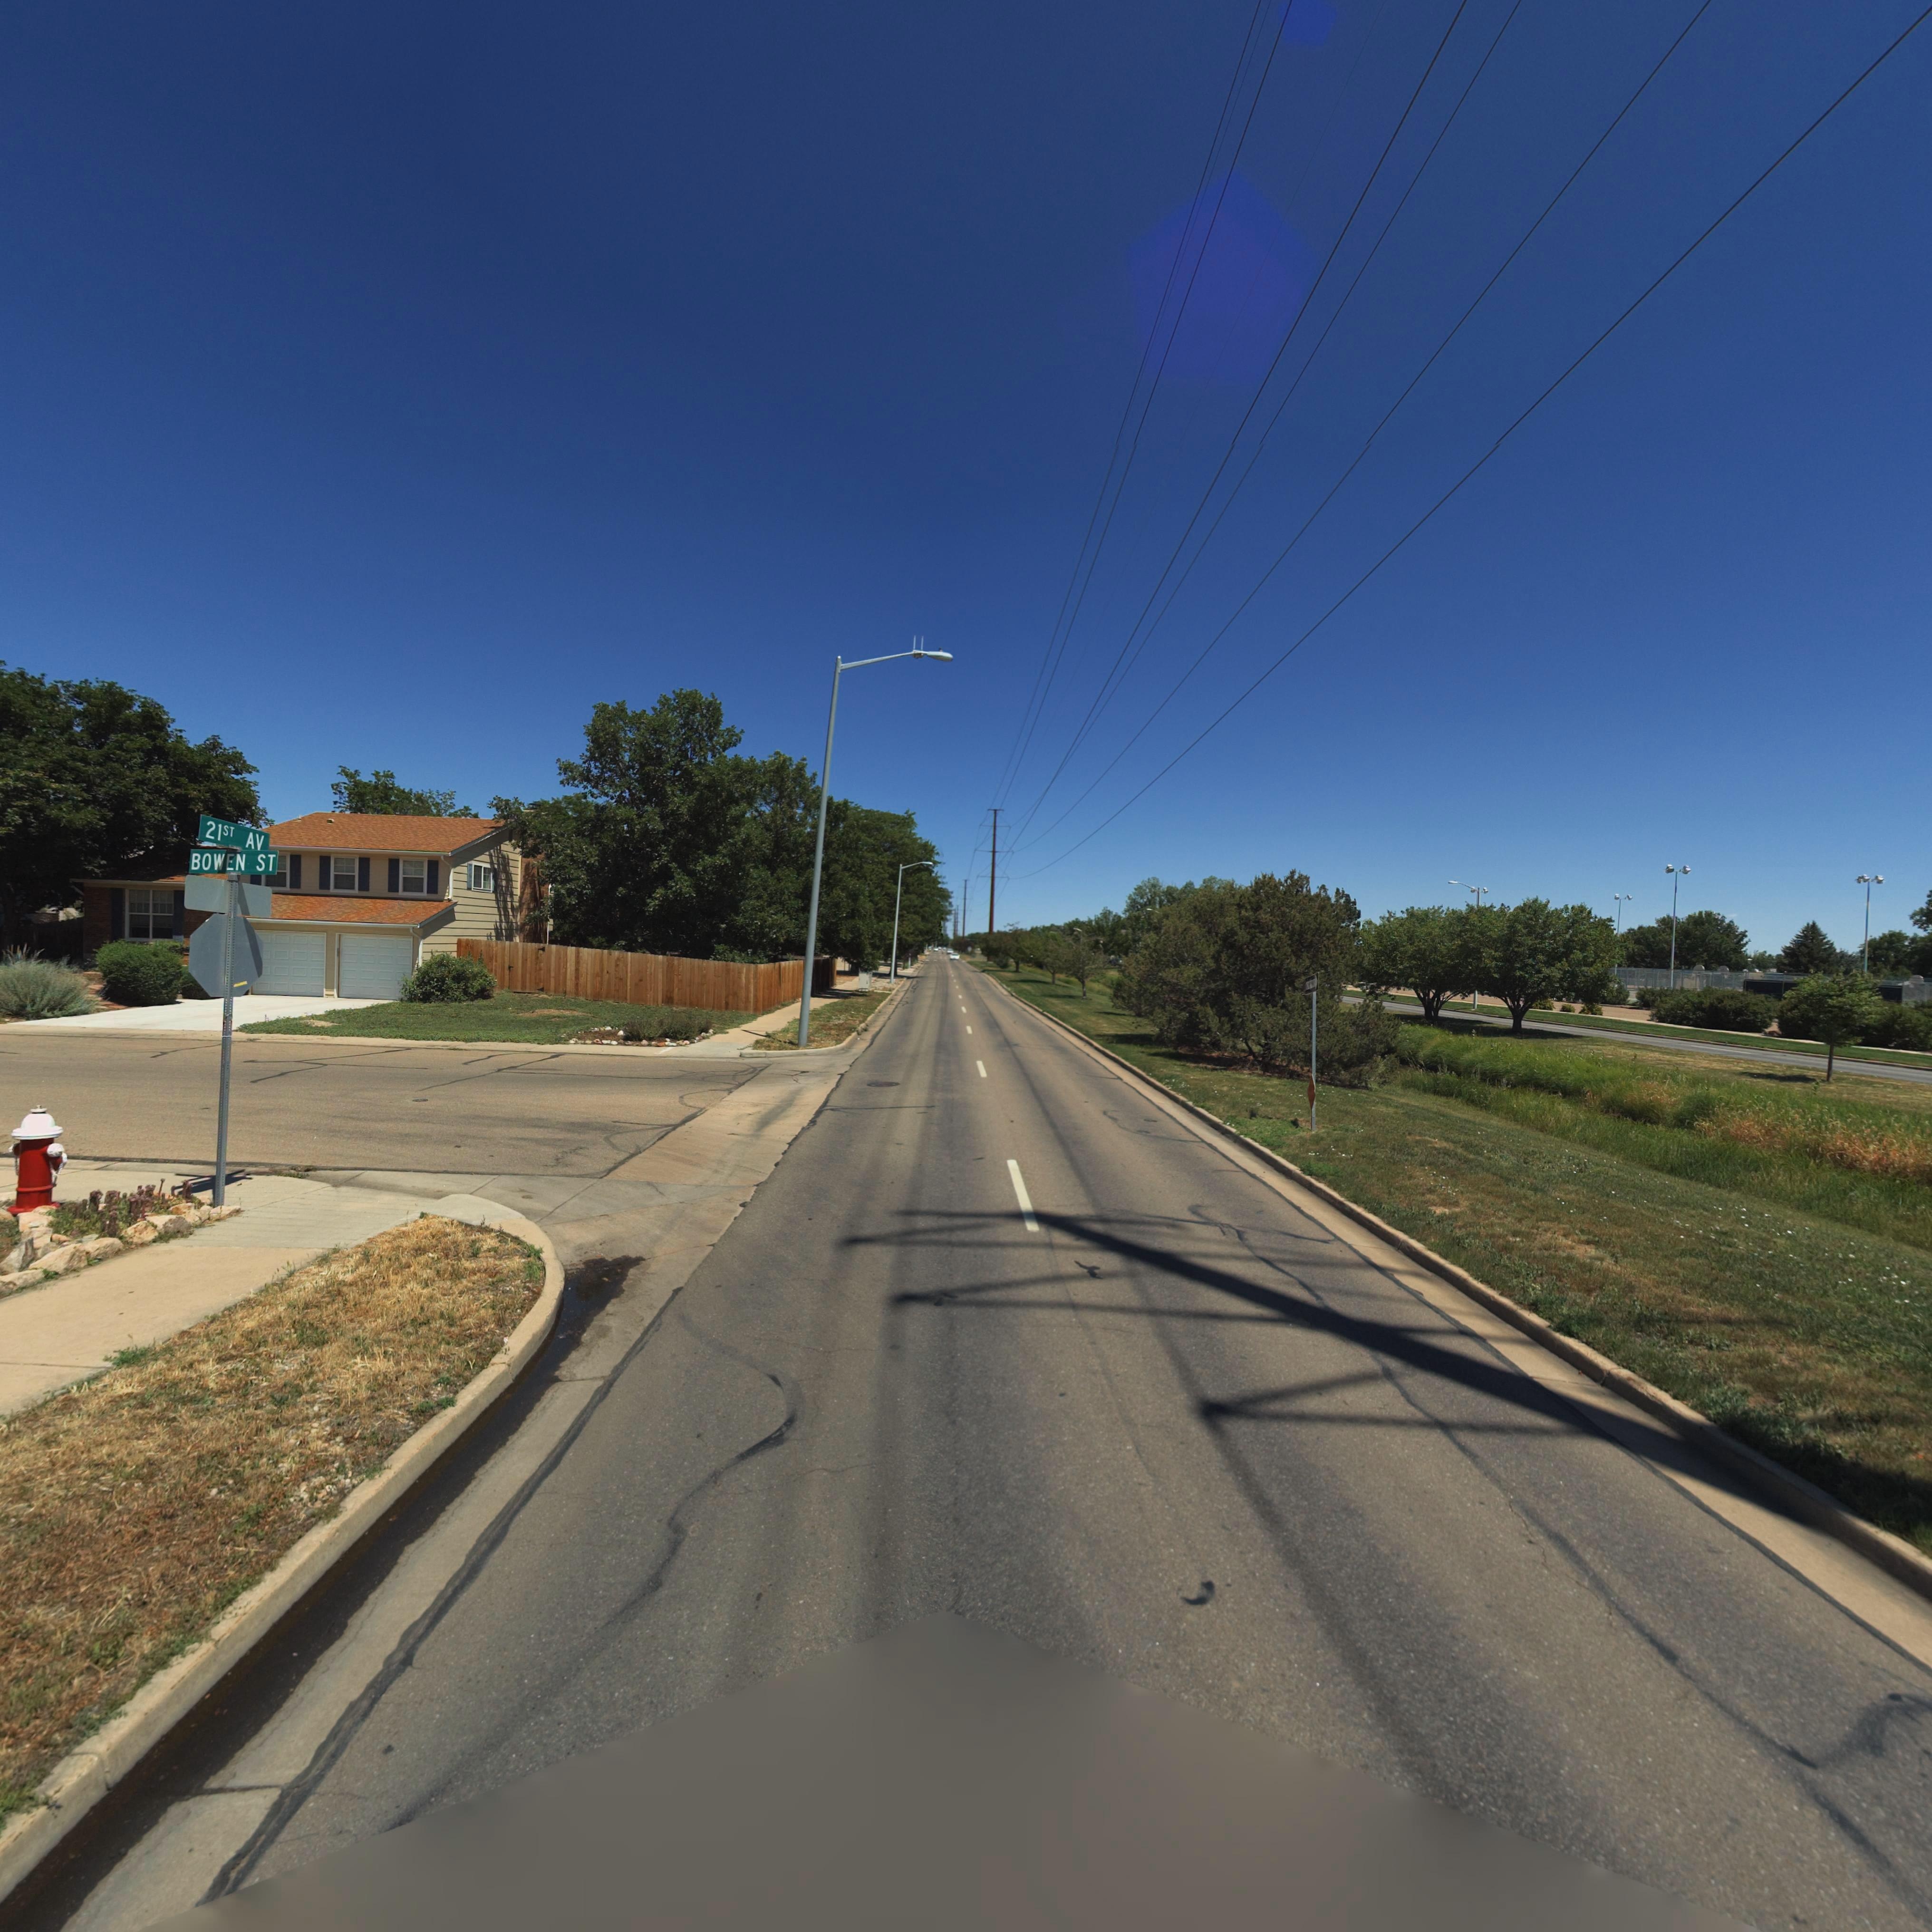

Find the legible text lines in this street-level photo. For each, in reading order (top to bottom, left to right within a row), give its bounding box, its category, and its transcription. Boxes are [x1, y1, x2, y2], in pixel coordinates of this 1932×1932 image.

[205, 820, 265, 851] StreetName: 21ST AV
[191, 852, 276, 871] StreetName: BOWEN ST